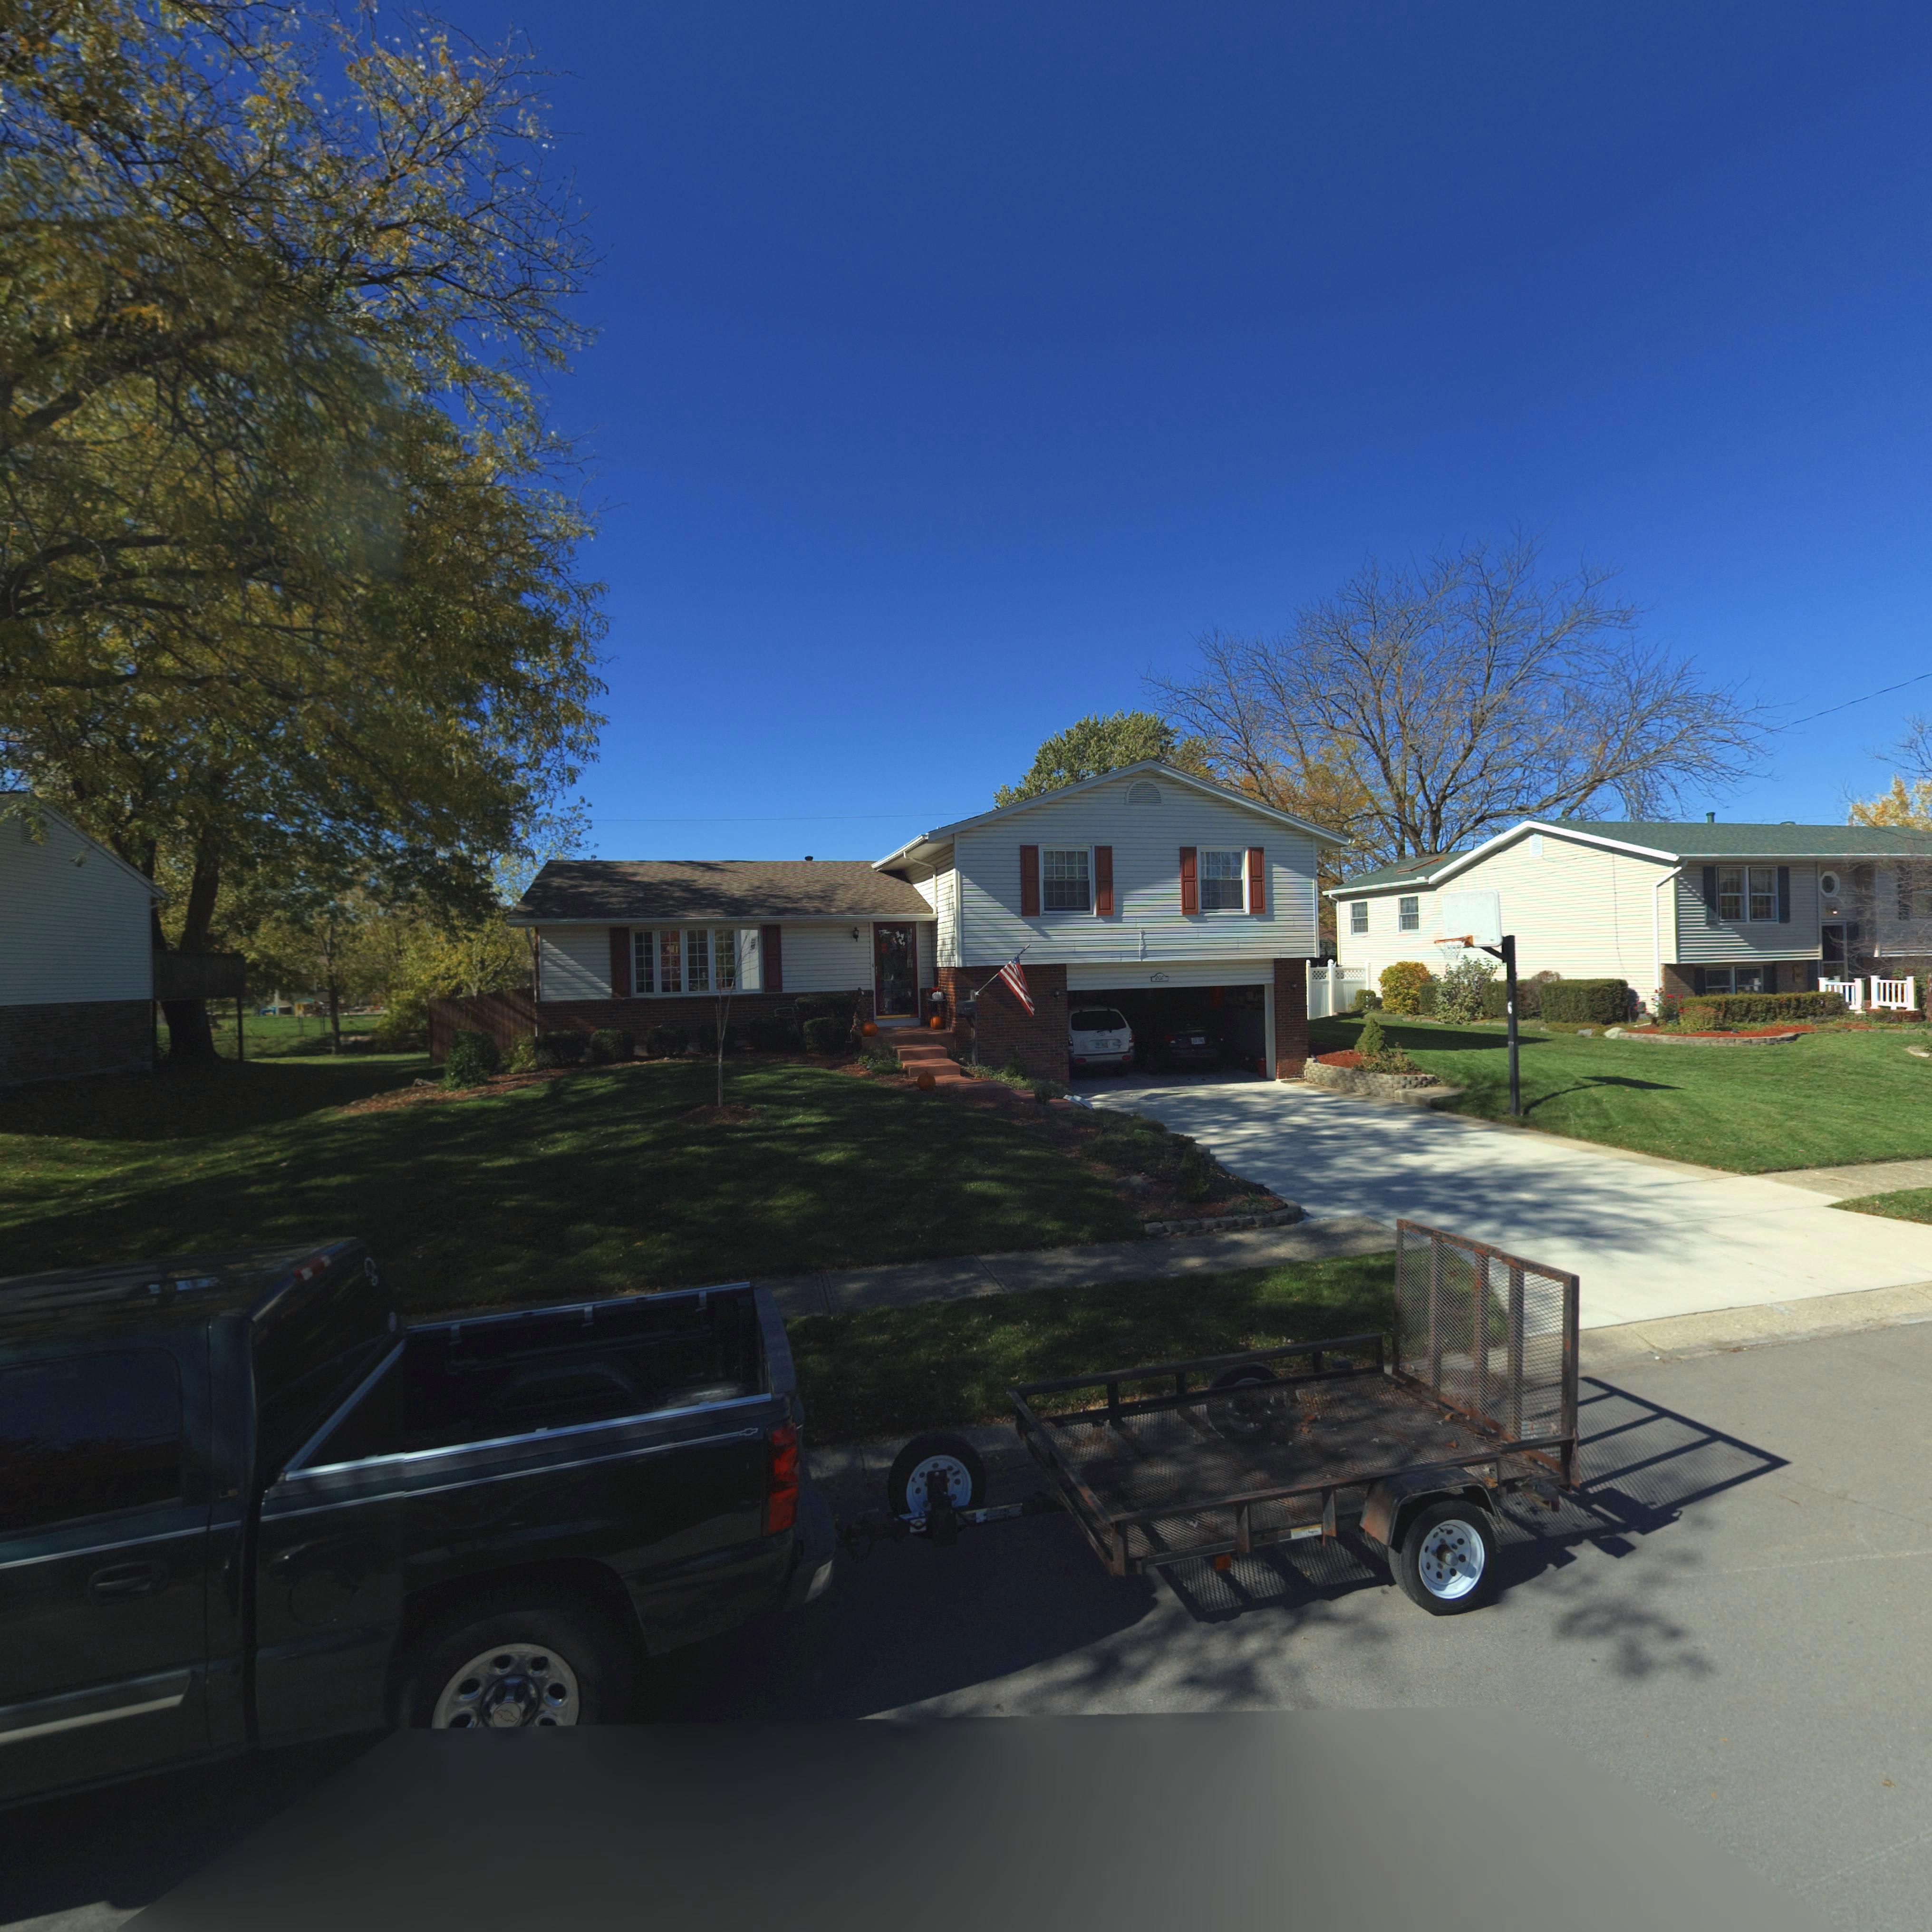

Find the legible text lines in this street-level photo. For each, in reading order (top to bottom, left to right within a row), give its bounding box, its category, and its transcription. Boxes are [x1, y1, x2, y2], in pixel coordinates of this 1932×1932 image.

[1154, 975, 1164, 981] StreetNumber: 207